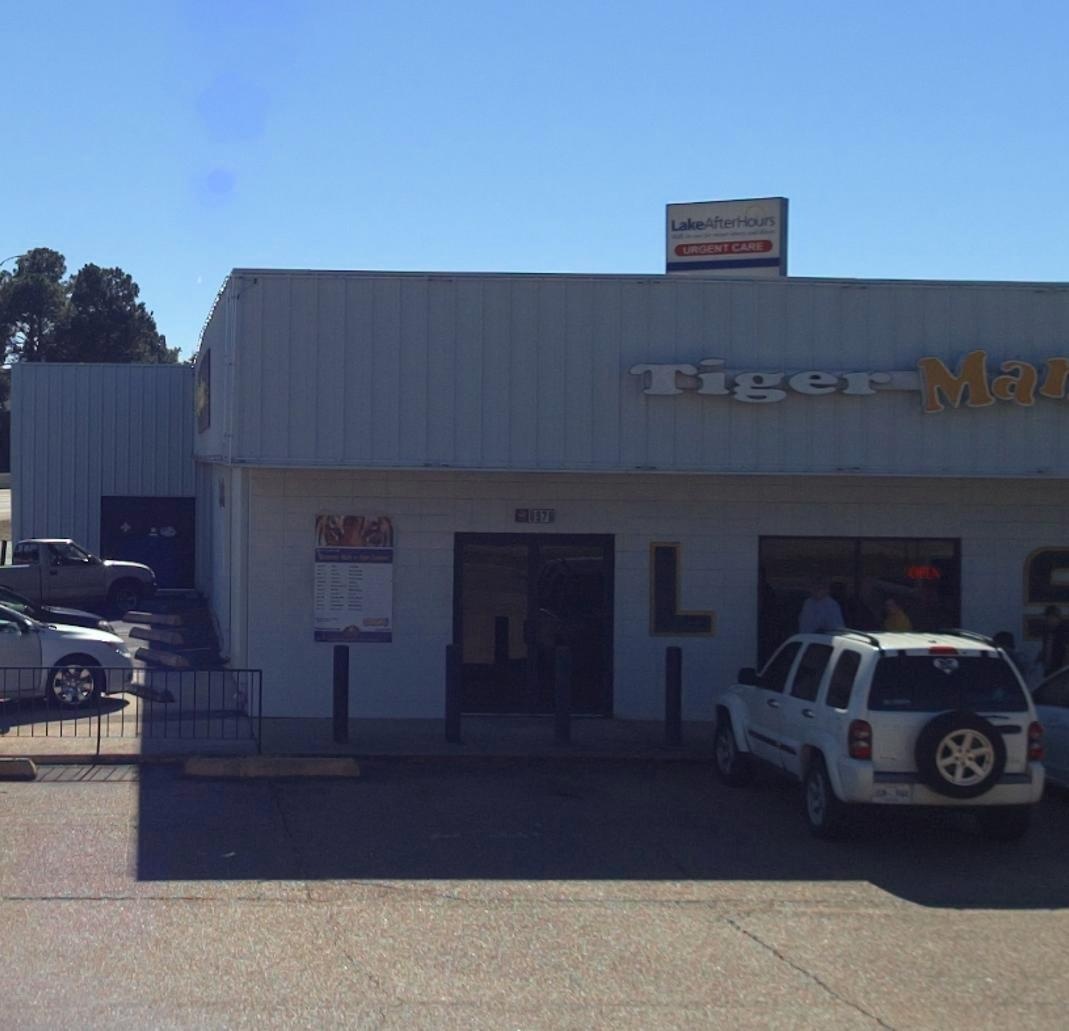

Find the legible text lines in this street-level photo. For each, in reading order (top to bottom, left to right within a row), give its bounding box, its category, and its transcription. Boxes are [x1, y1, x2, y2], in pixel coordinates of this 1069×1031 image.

[669, 215, 777, 233] BusinessName: LakeAfterHours
[682, 240, 764, 255] None: URGENT CARE
[624, 349, 1069, 416] BusinessName: Tiger MA*
[528, 509, 555, 523] StreetNumber: 8976
[907, 564, 942, 581] None: OPEN
[648, 540, 716, 636] None: L